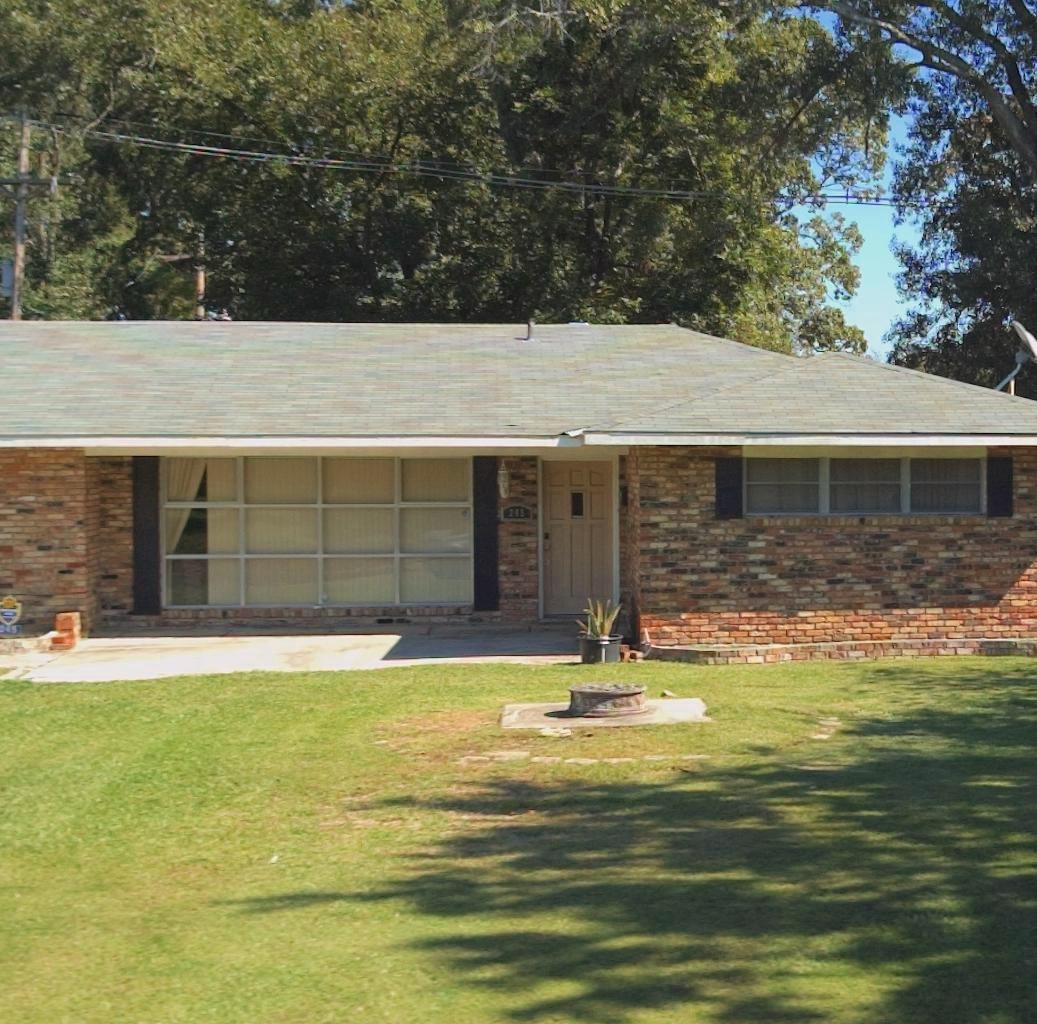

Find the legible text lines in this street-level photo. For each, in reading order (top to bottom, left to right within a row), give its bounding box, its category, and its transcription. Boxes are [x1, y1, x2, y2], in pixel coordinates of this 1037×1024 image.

[507, 508, 527, 518] StreetNumber: 245